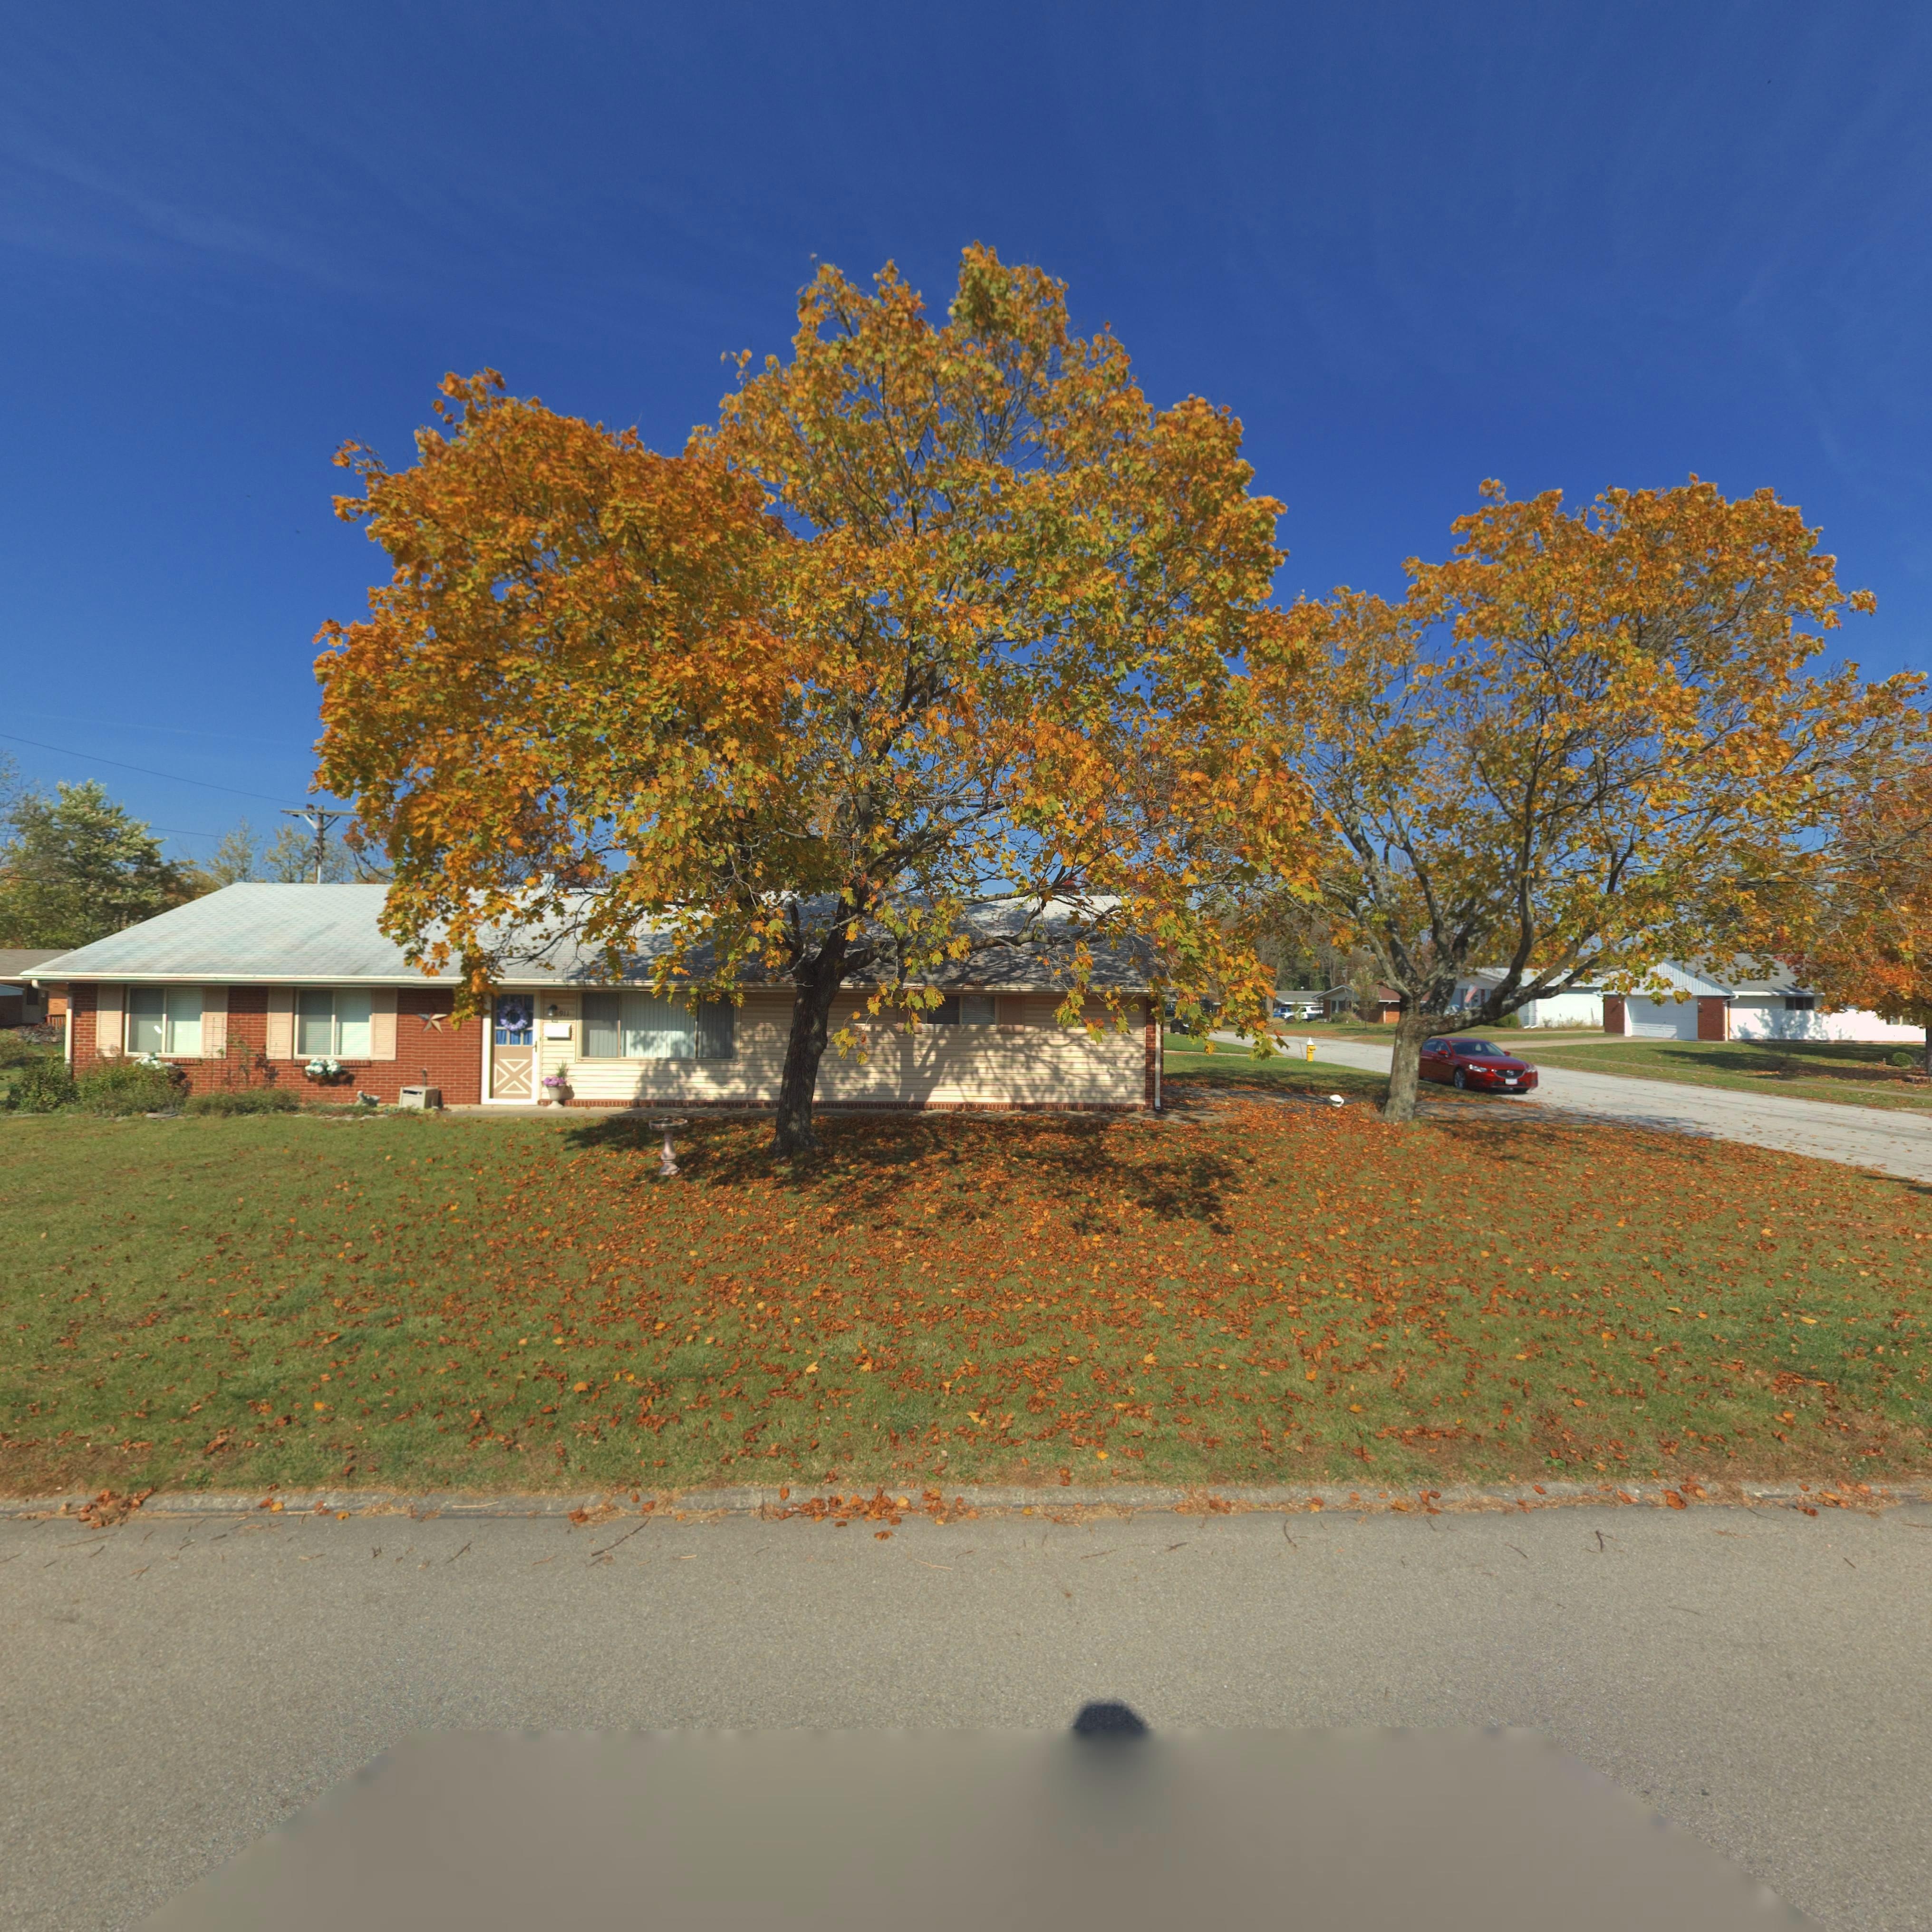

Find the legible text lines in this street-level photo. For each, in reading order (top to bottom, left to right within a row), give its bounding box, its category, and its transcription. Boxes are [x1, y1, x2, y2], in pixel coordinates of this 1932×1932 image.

[558, 1009, 570, 1018] StreetNumber: 911